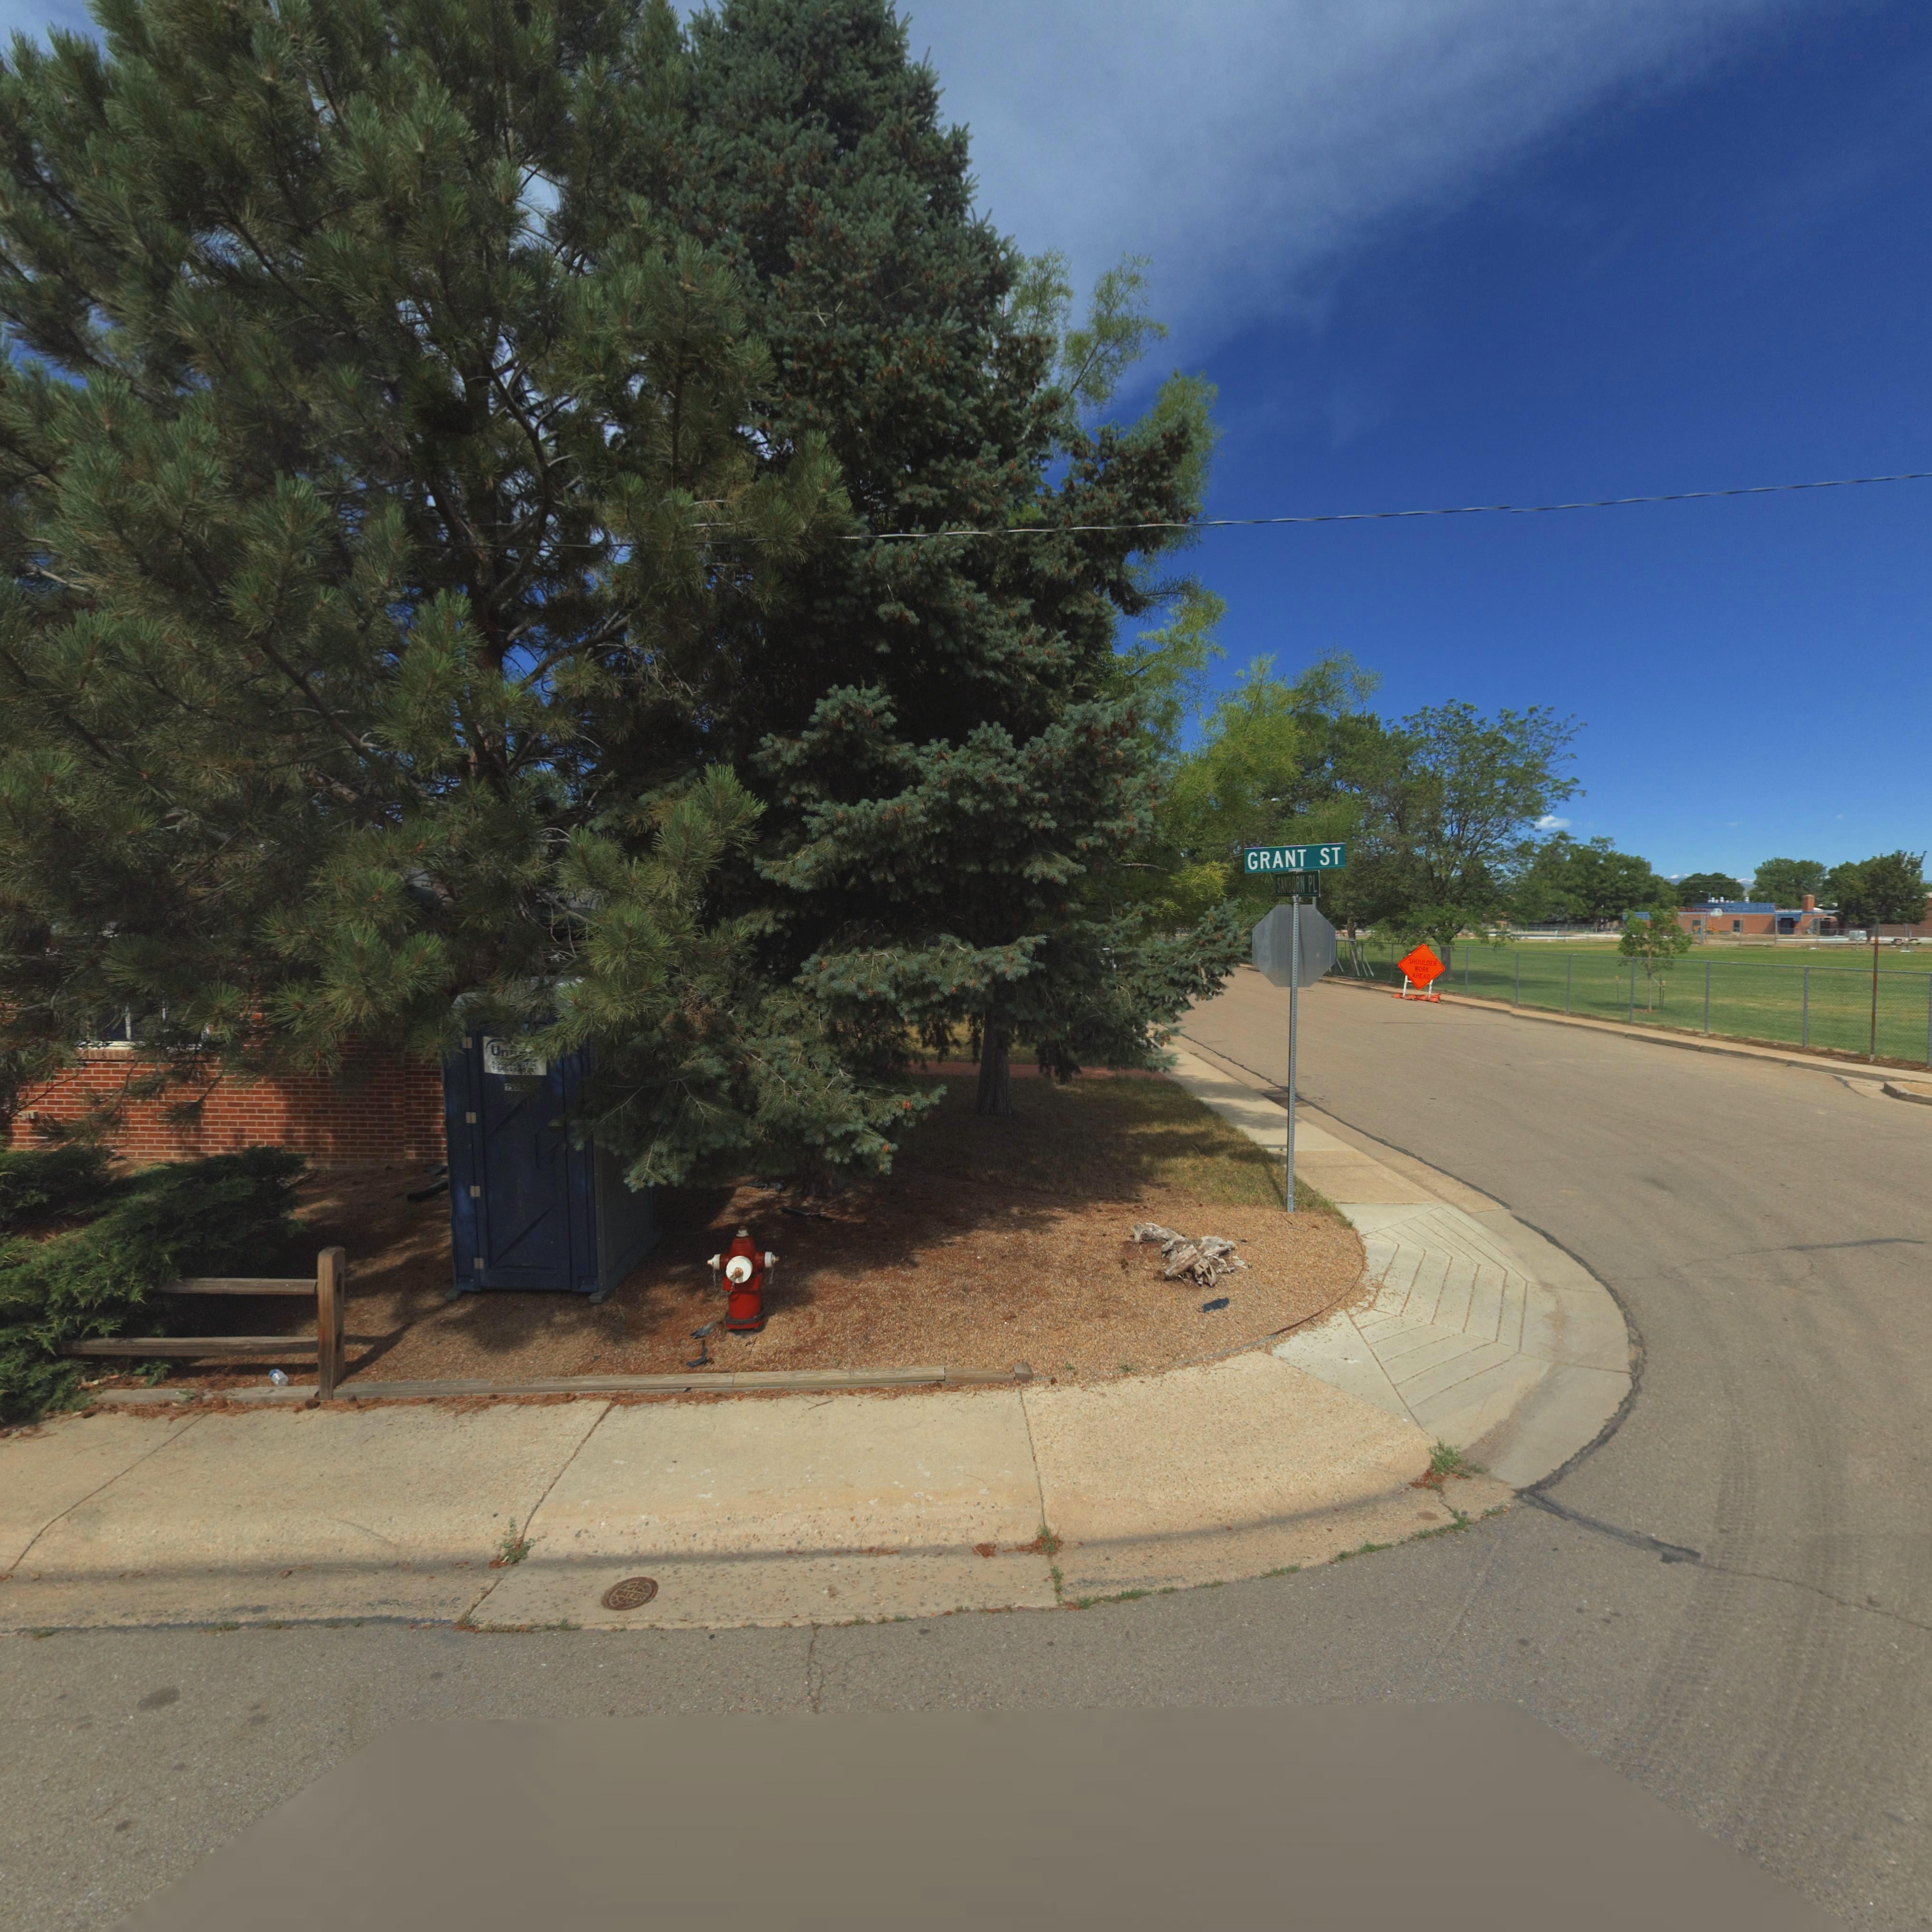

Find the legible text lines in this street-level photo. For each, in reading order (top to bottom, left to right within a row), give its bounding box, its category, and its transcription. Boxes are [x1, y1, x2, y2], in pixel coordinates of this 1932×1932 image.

[1247, 846, 1341, 870] StreetName: GRANT ST
[1276, 874, 1317, 893] StreetName: SANBORN PL